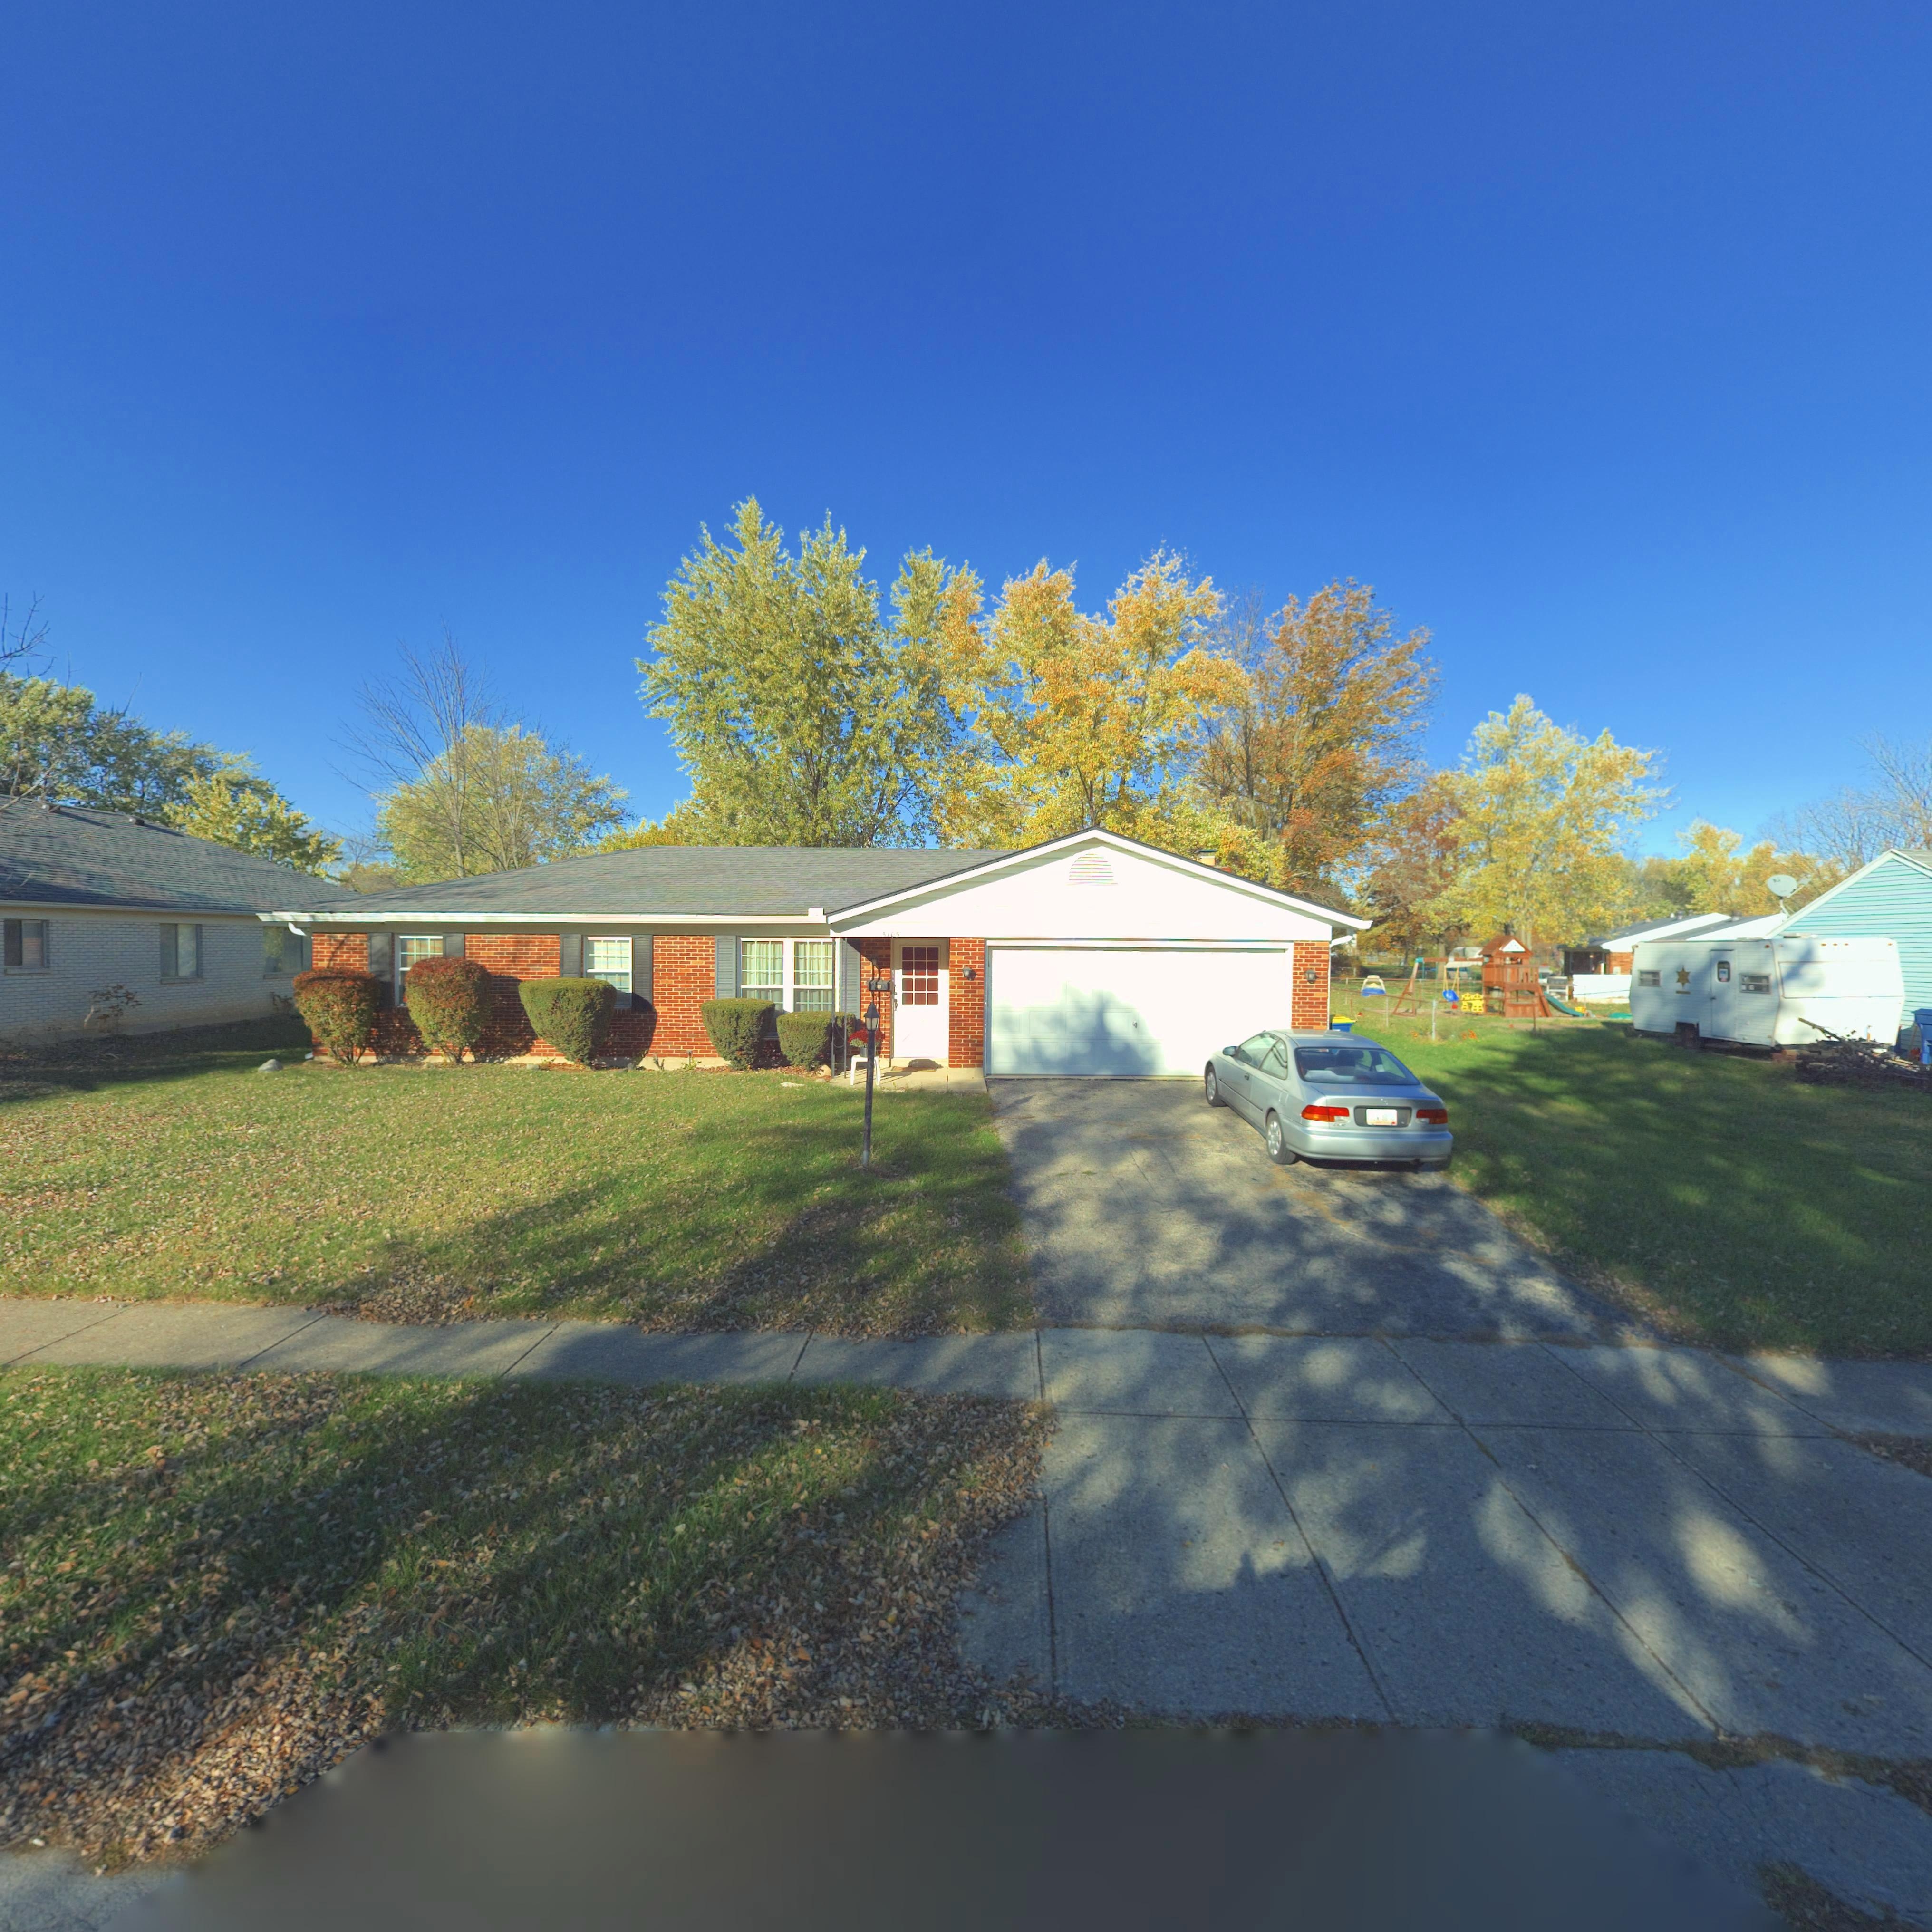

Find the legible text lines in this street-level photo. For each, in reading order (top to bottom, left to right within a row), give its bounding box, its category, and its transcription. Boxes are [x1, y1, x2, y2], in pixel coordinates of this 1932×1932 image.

[882, 932, 899, 937] StreetNumber: 5105